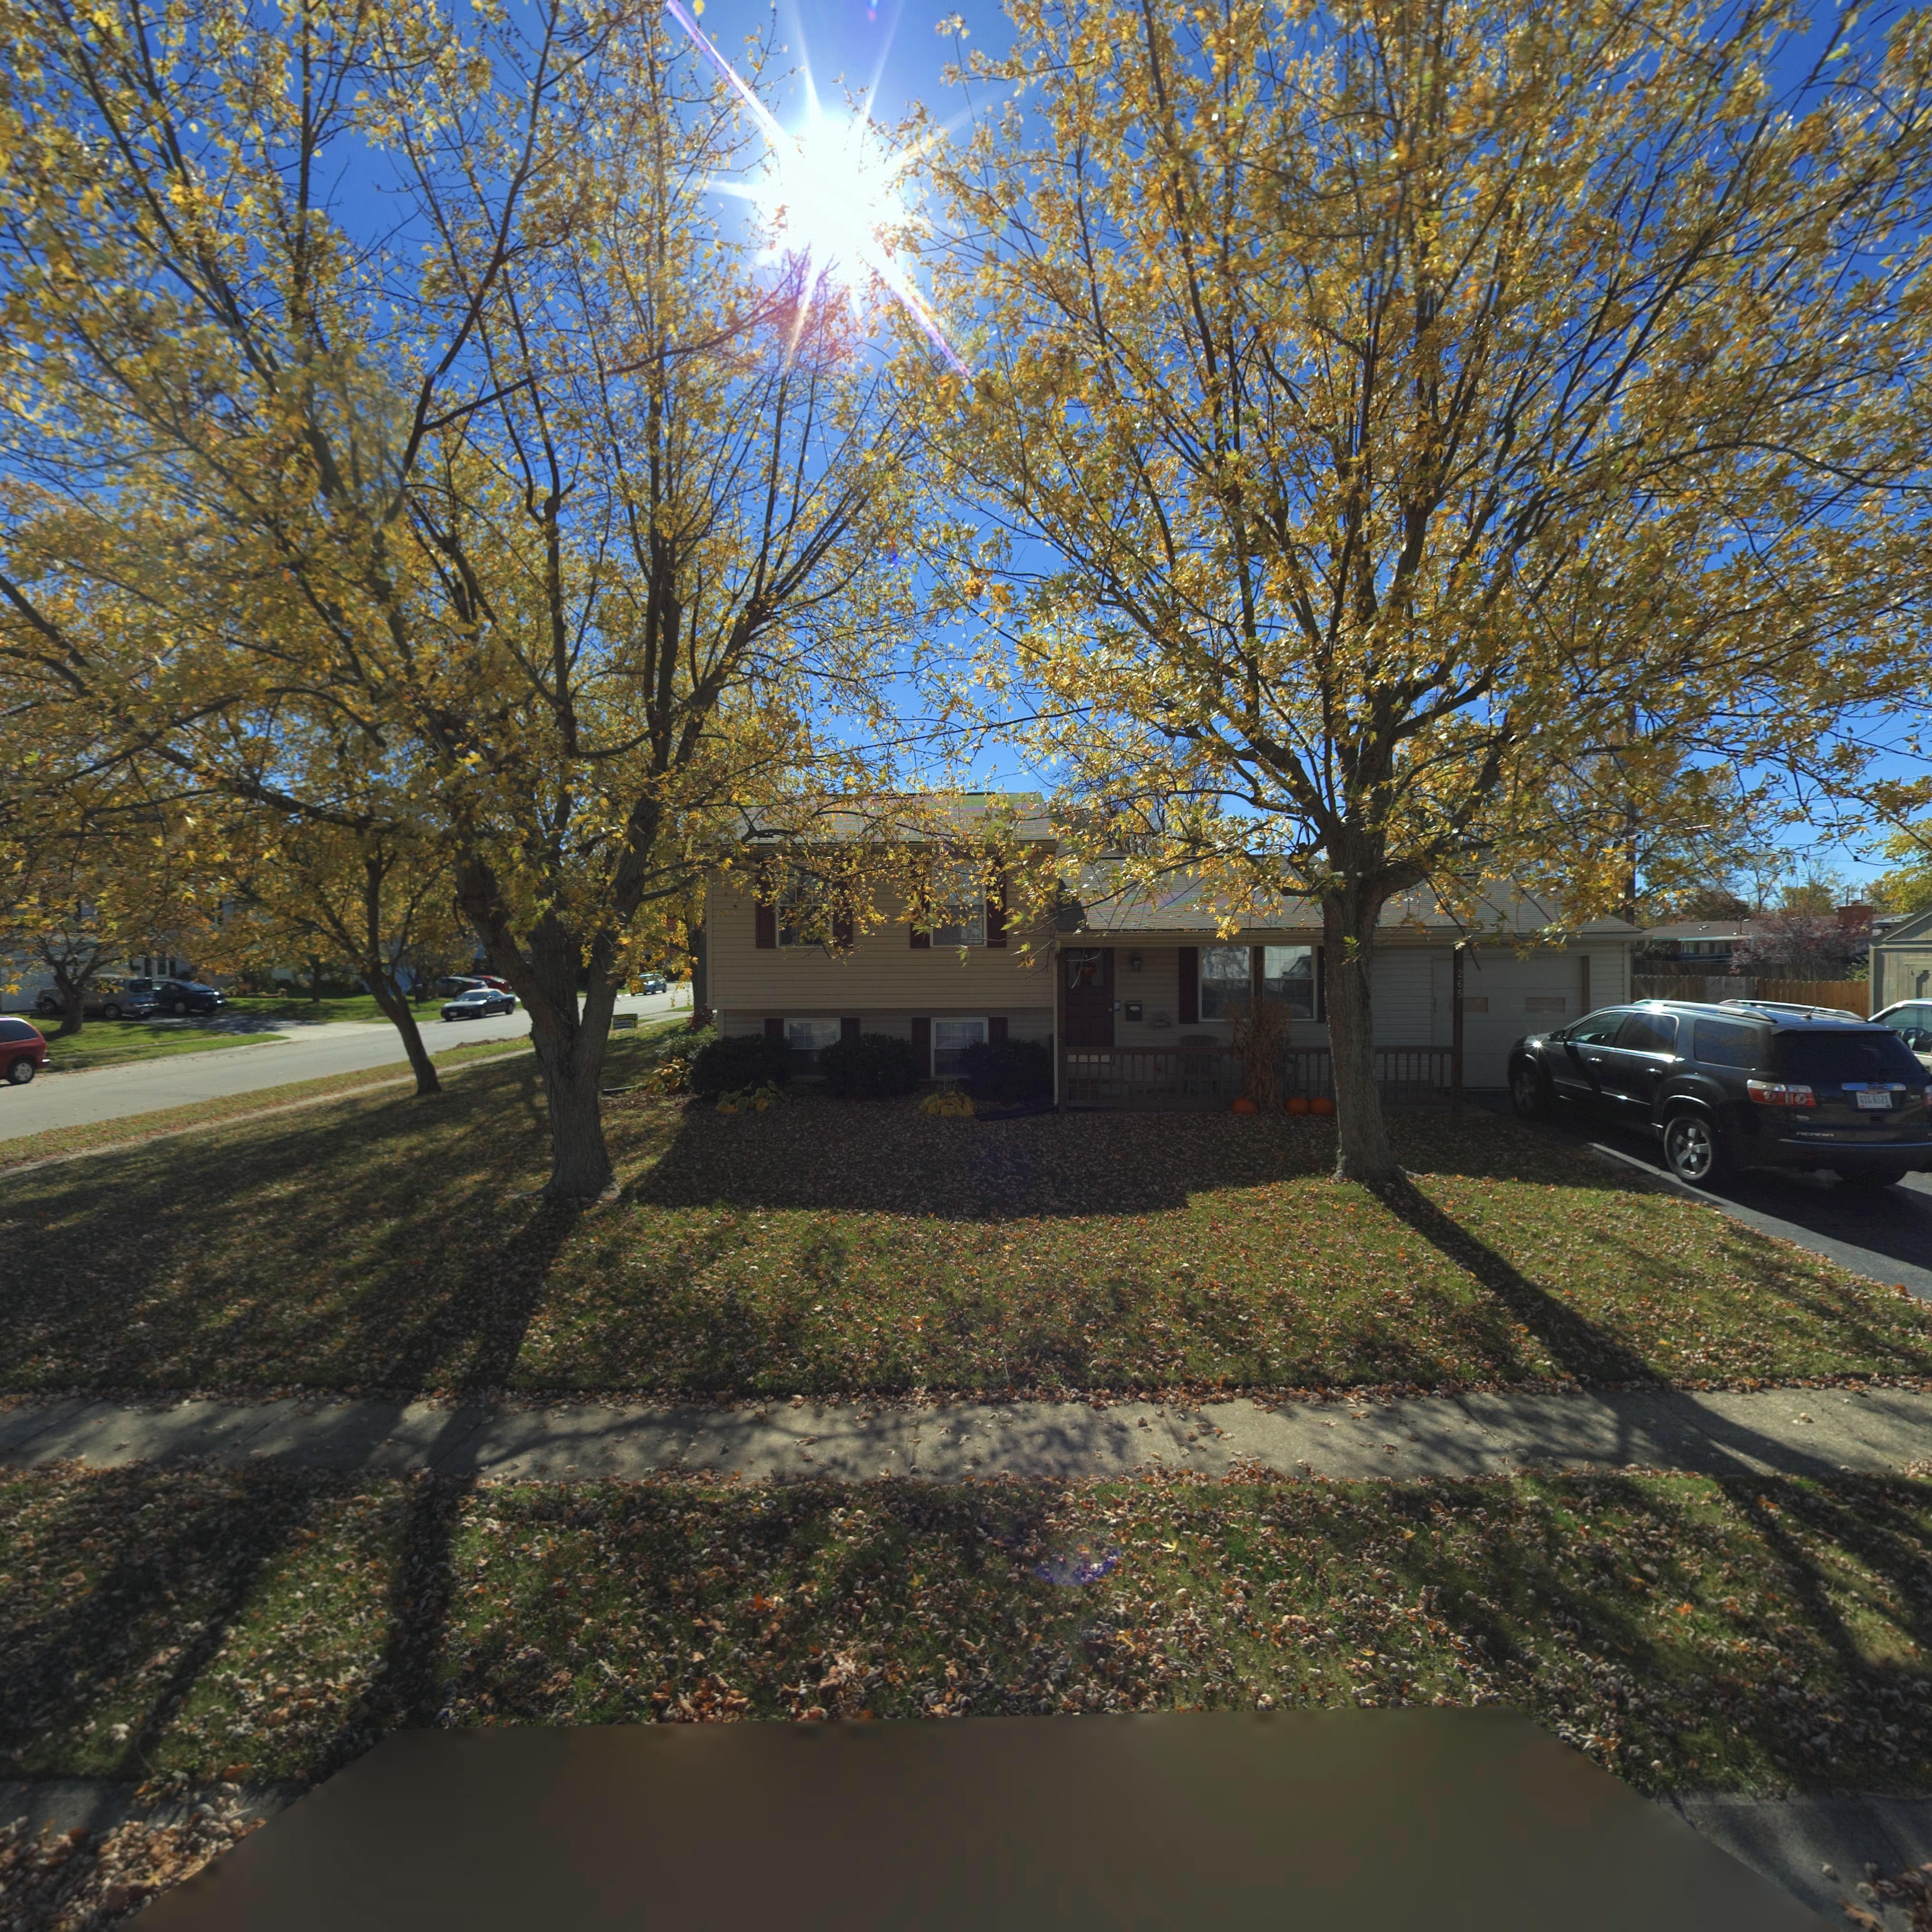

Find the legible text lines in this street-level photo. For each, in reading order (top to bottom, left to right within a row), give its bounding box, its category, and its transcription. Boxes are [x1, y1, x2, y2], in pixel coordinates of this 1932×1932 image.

[1457, 969, 1463, 998] StreetNumber: 265